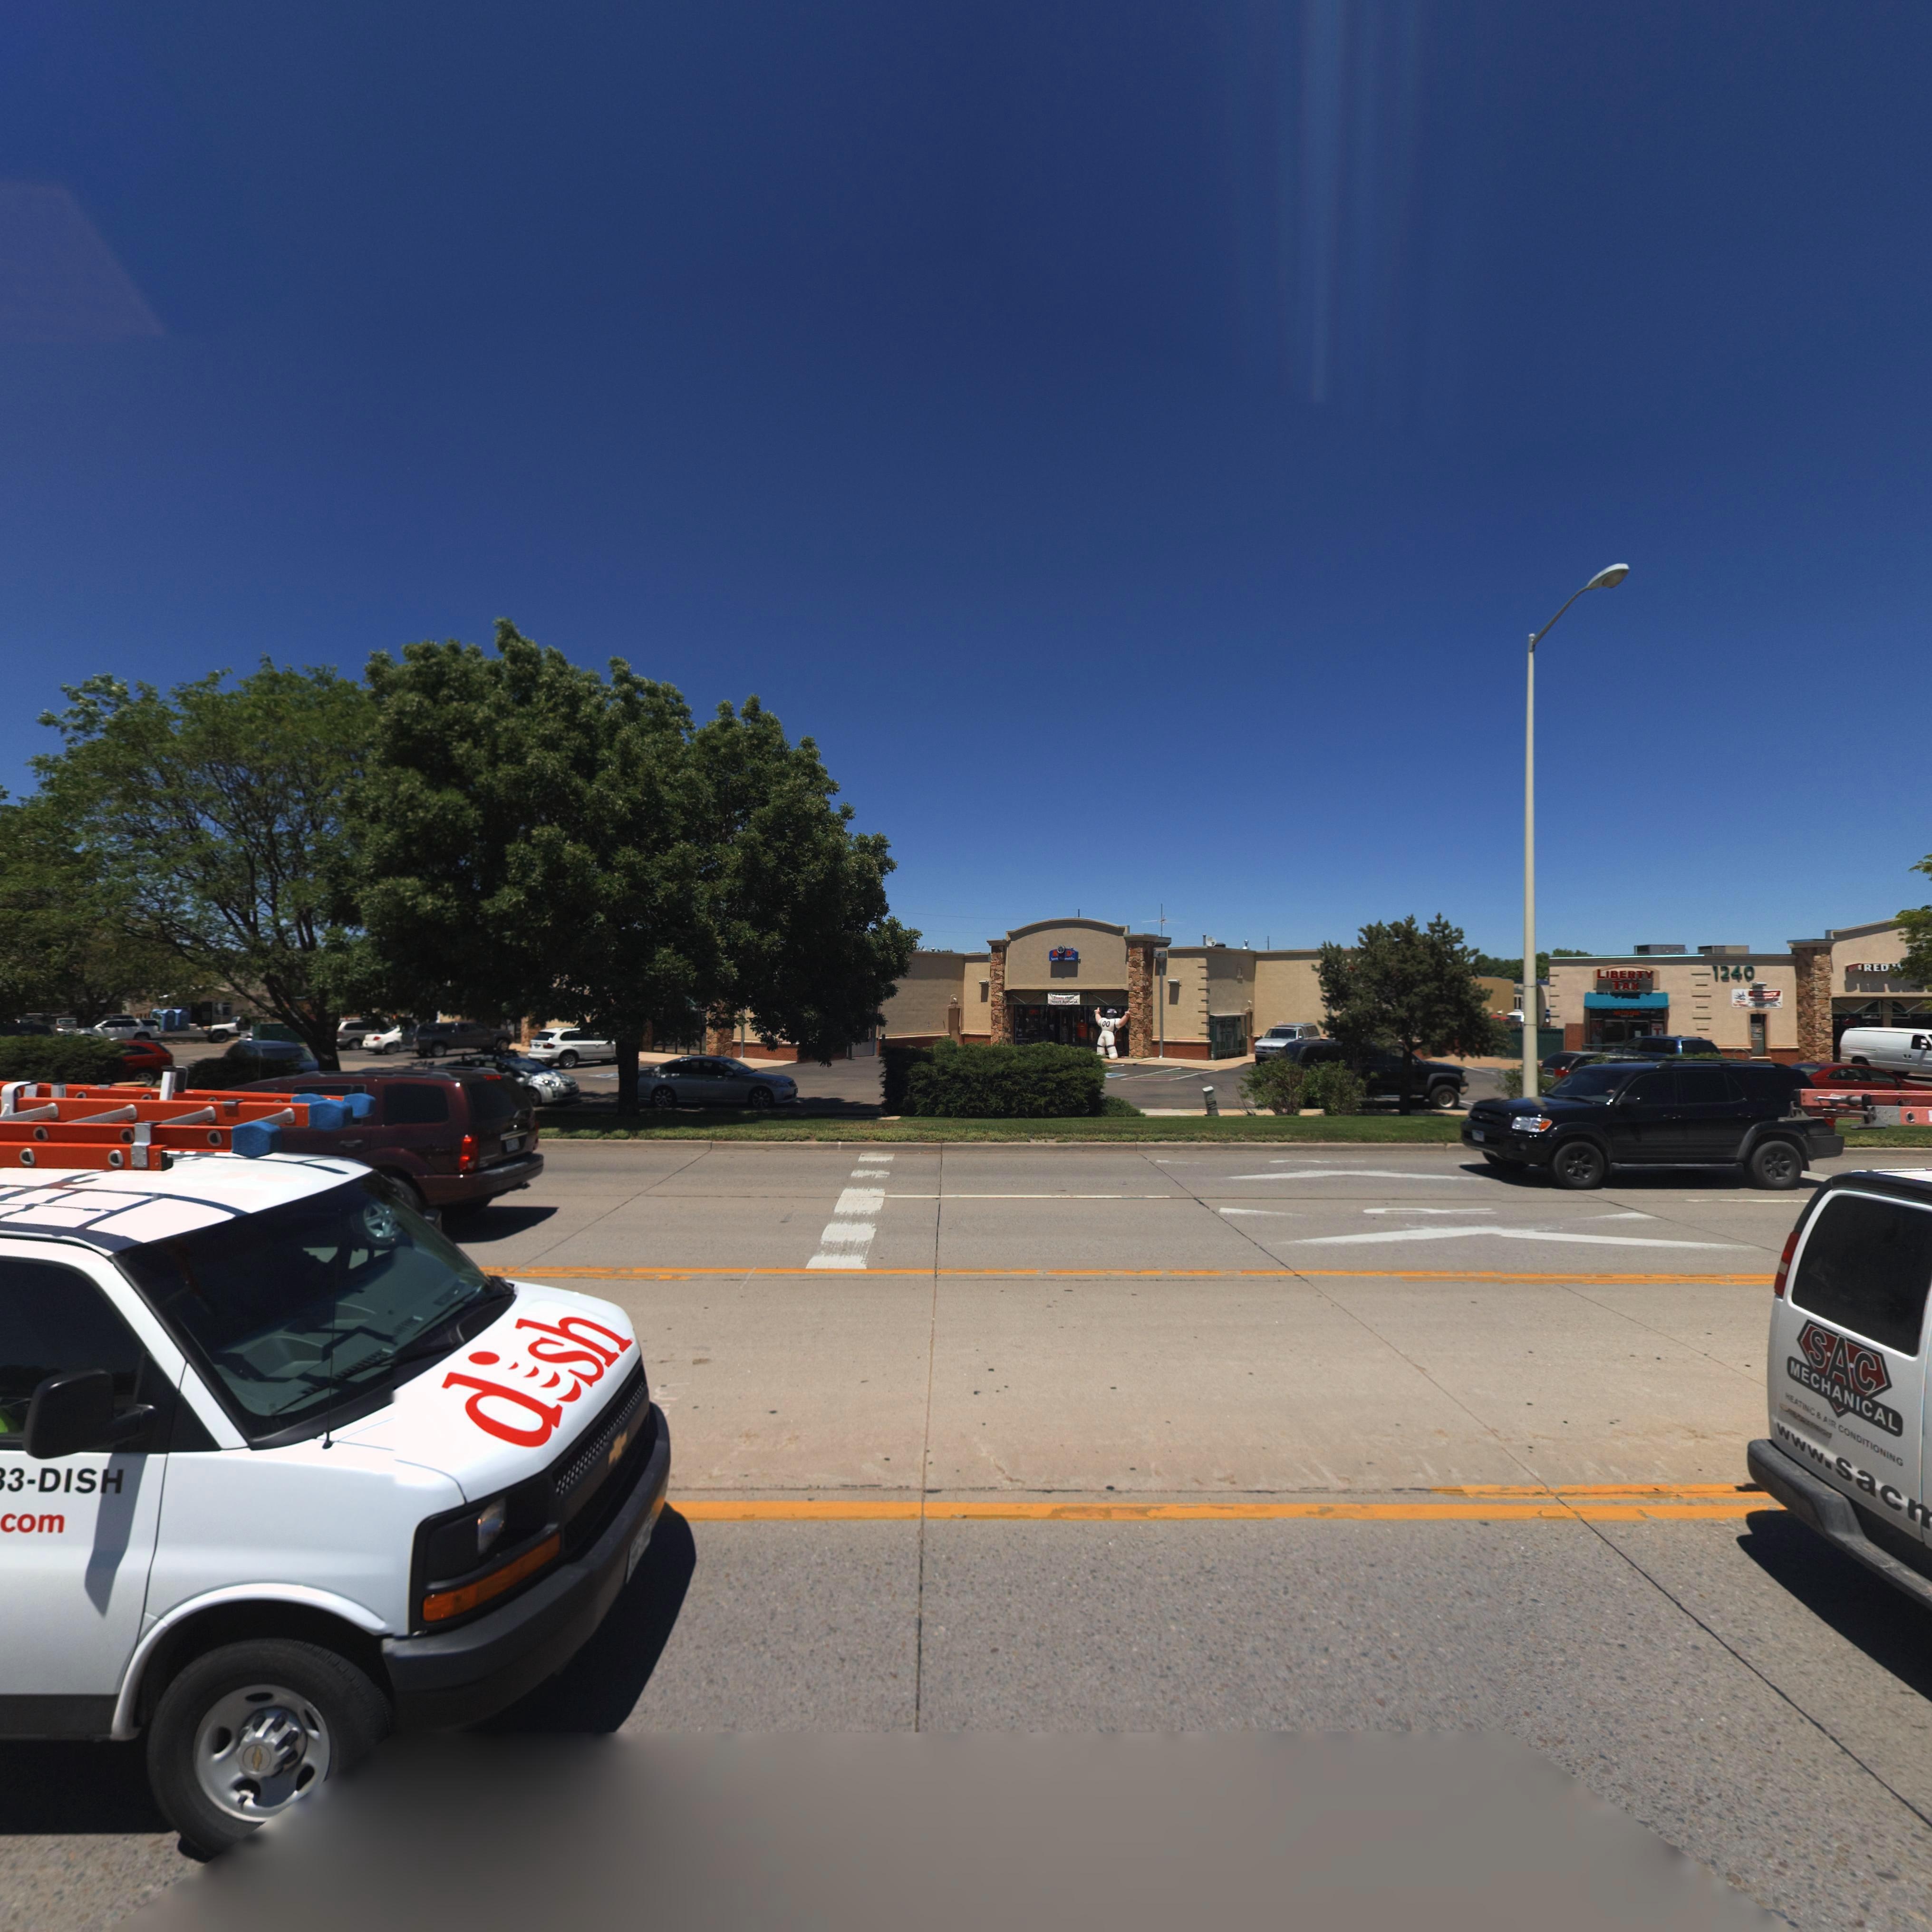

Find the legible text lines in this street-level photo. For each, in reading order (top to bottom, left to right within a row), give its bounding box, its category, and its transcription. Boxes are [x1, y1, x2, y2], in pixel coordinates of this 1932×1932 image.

[1052, 949, 1074, 956] BusinessName: * * D*s
[1596, 968, 1653, 980] BusinessName: LIBERTY
[1712, 965, 1755, 980] StreetNumber: 1240
[1863, 963, 1890, 972] BusinessName: RED
[1611, 980, 1640, 990] BusinessName: TAX